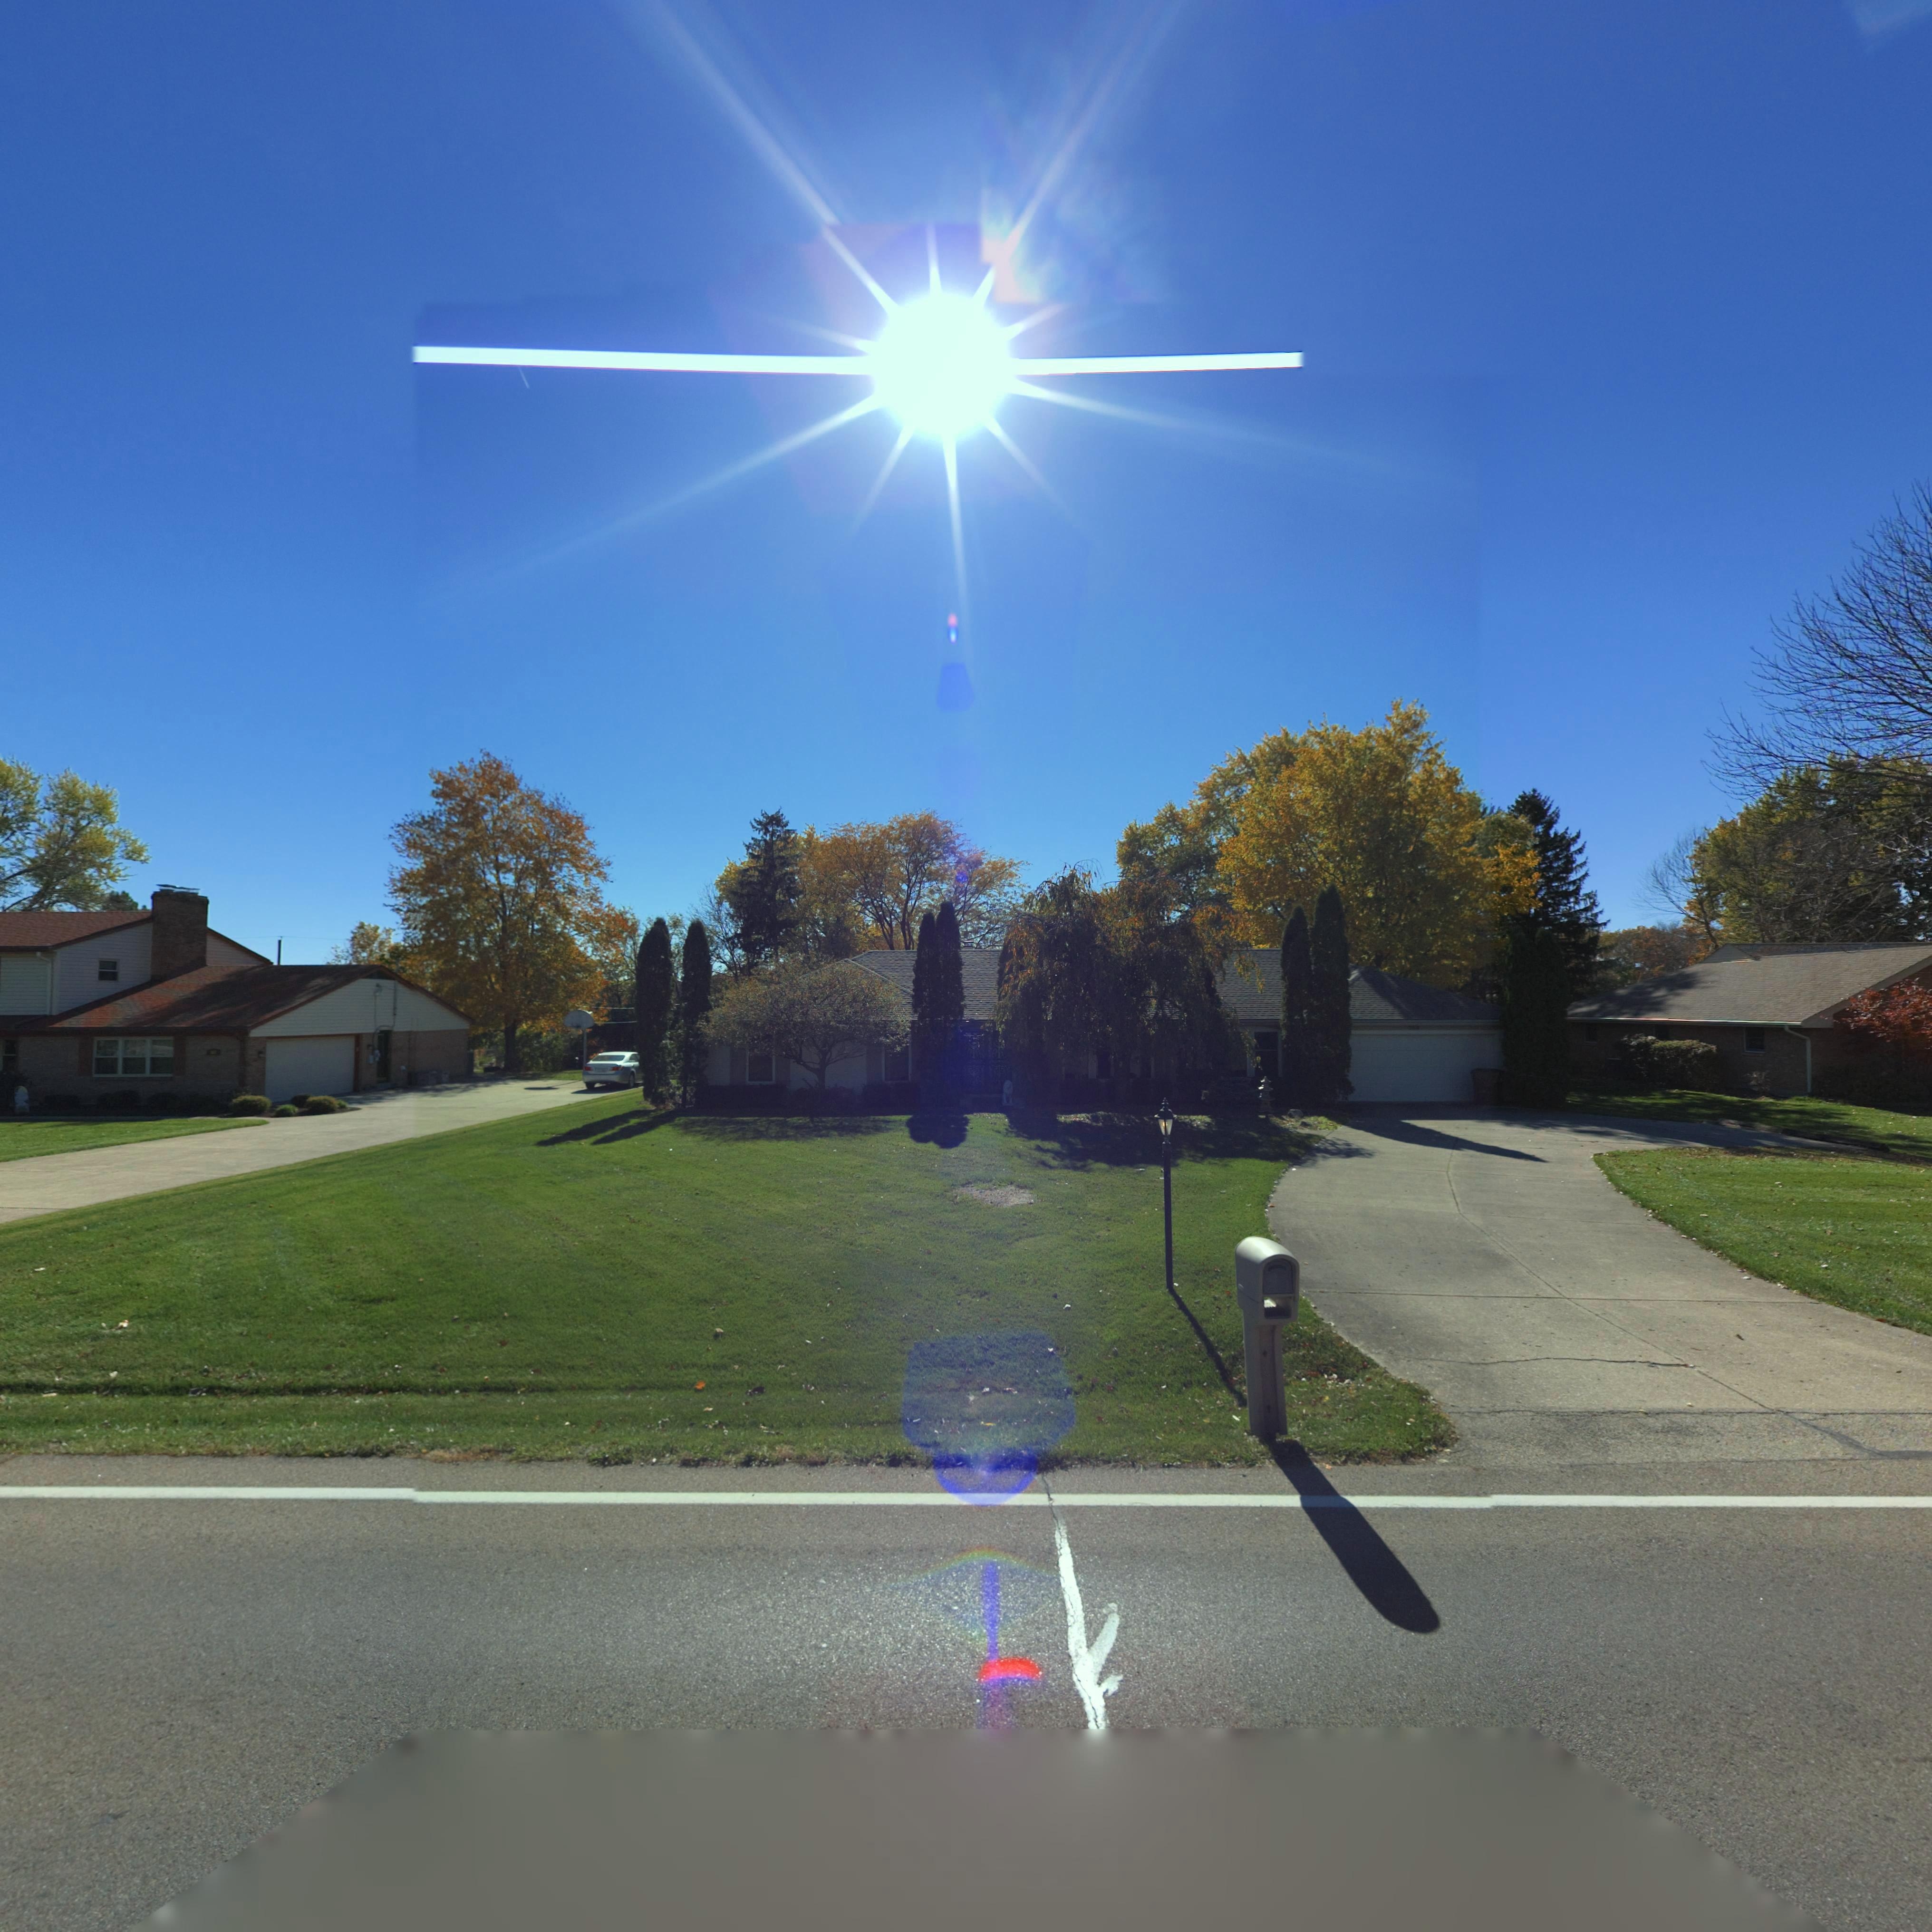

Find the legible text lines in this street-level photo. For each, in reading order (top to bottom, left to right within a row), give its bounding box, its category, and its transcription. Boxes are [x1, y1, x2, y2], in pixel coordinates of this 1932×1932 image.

[1408, 1025, 1420, 1030] StreetNumber: 5**